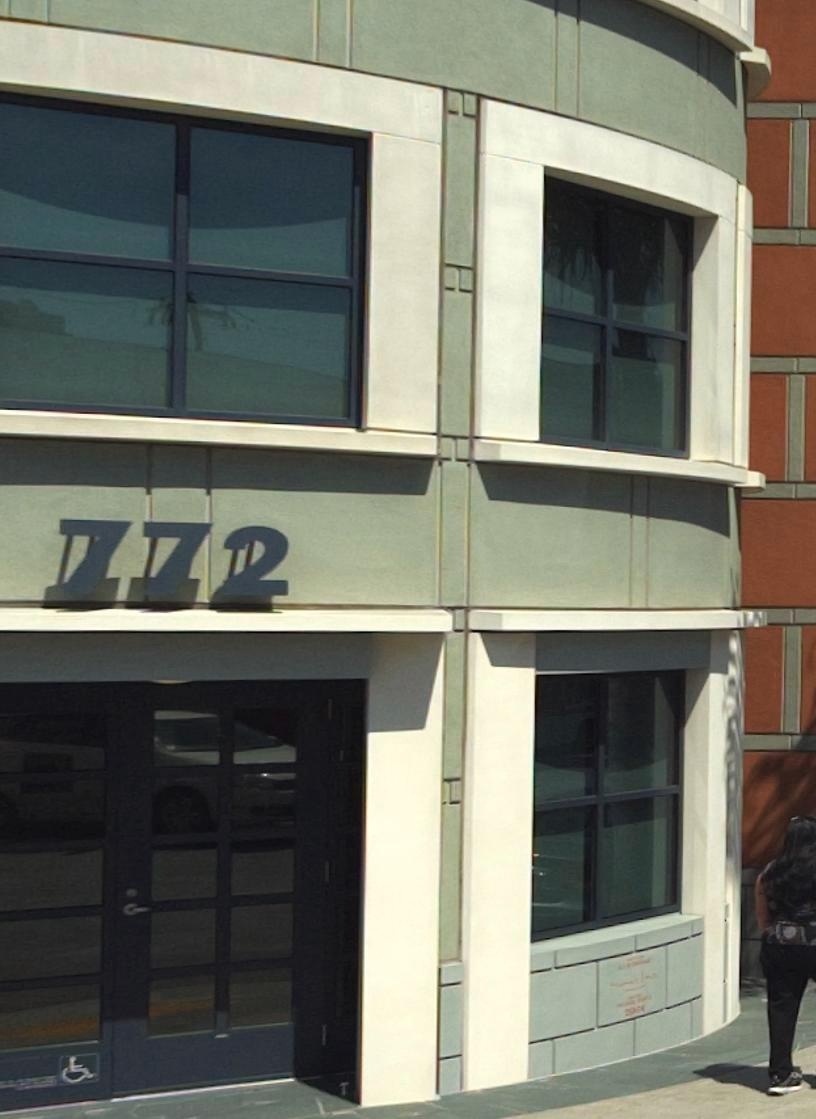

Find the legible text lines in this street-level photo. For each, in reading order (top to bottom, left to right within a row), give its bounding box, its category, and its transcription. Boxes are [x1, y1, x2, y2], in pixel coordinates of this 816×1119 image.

[58, 518, 292, 597] StreetNumber: 772